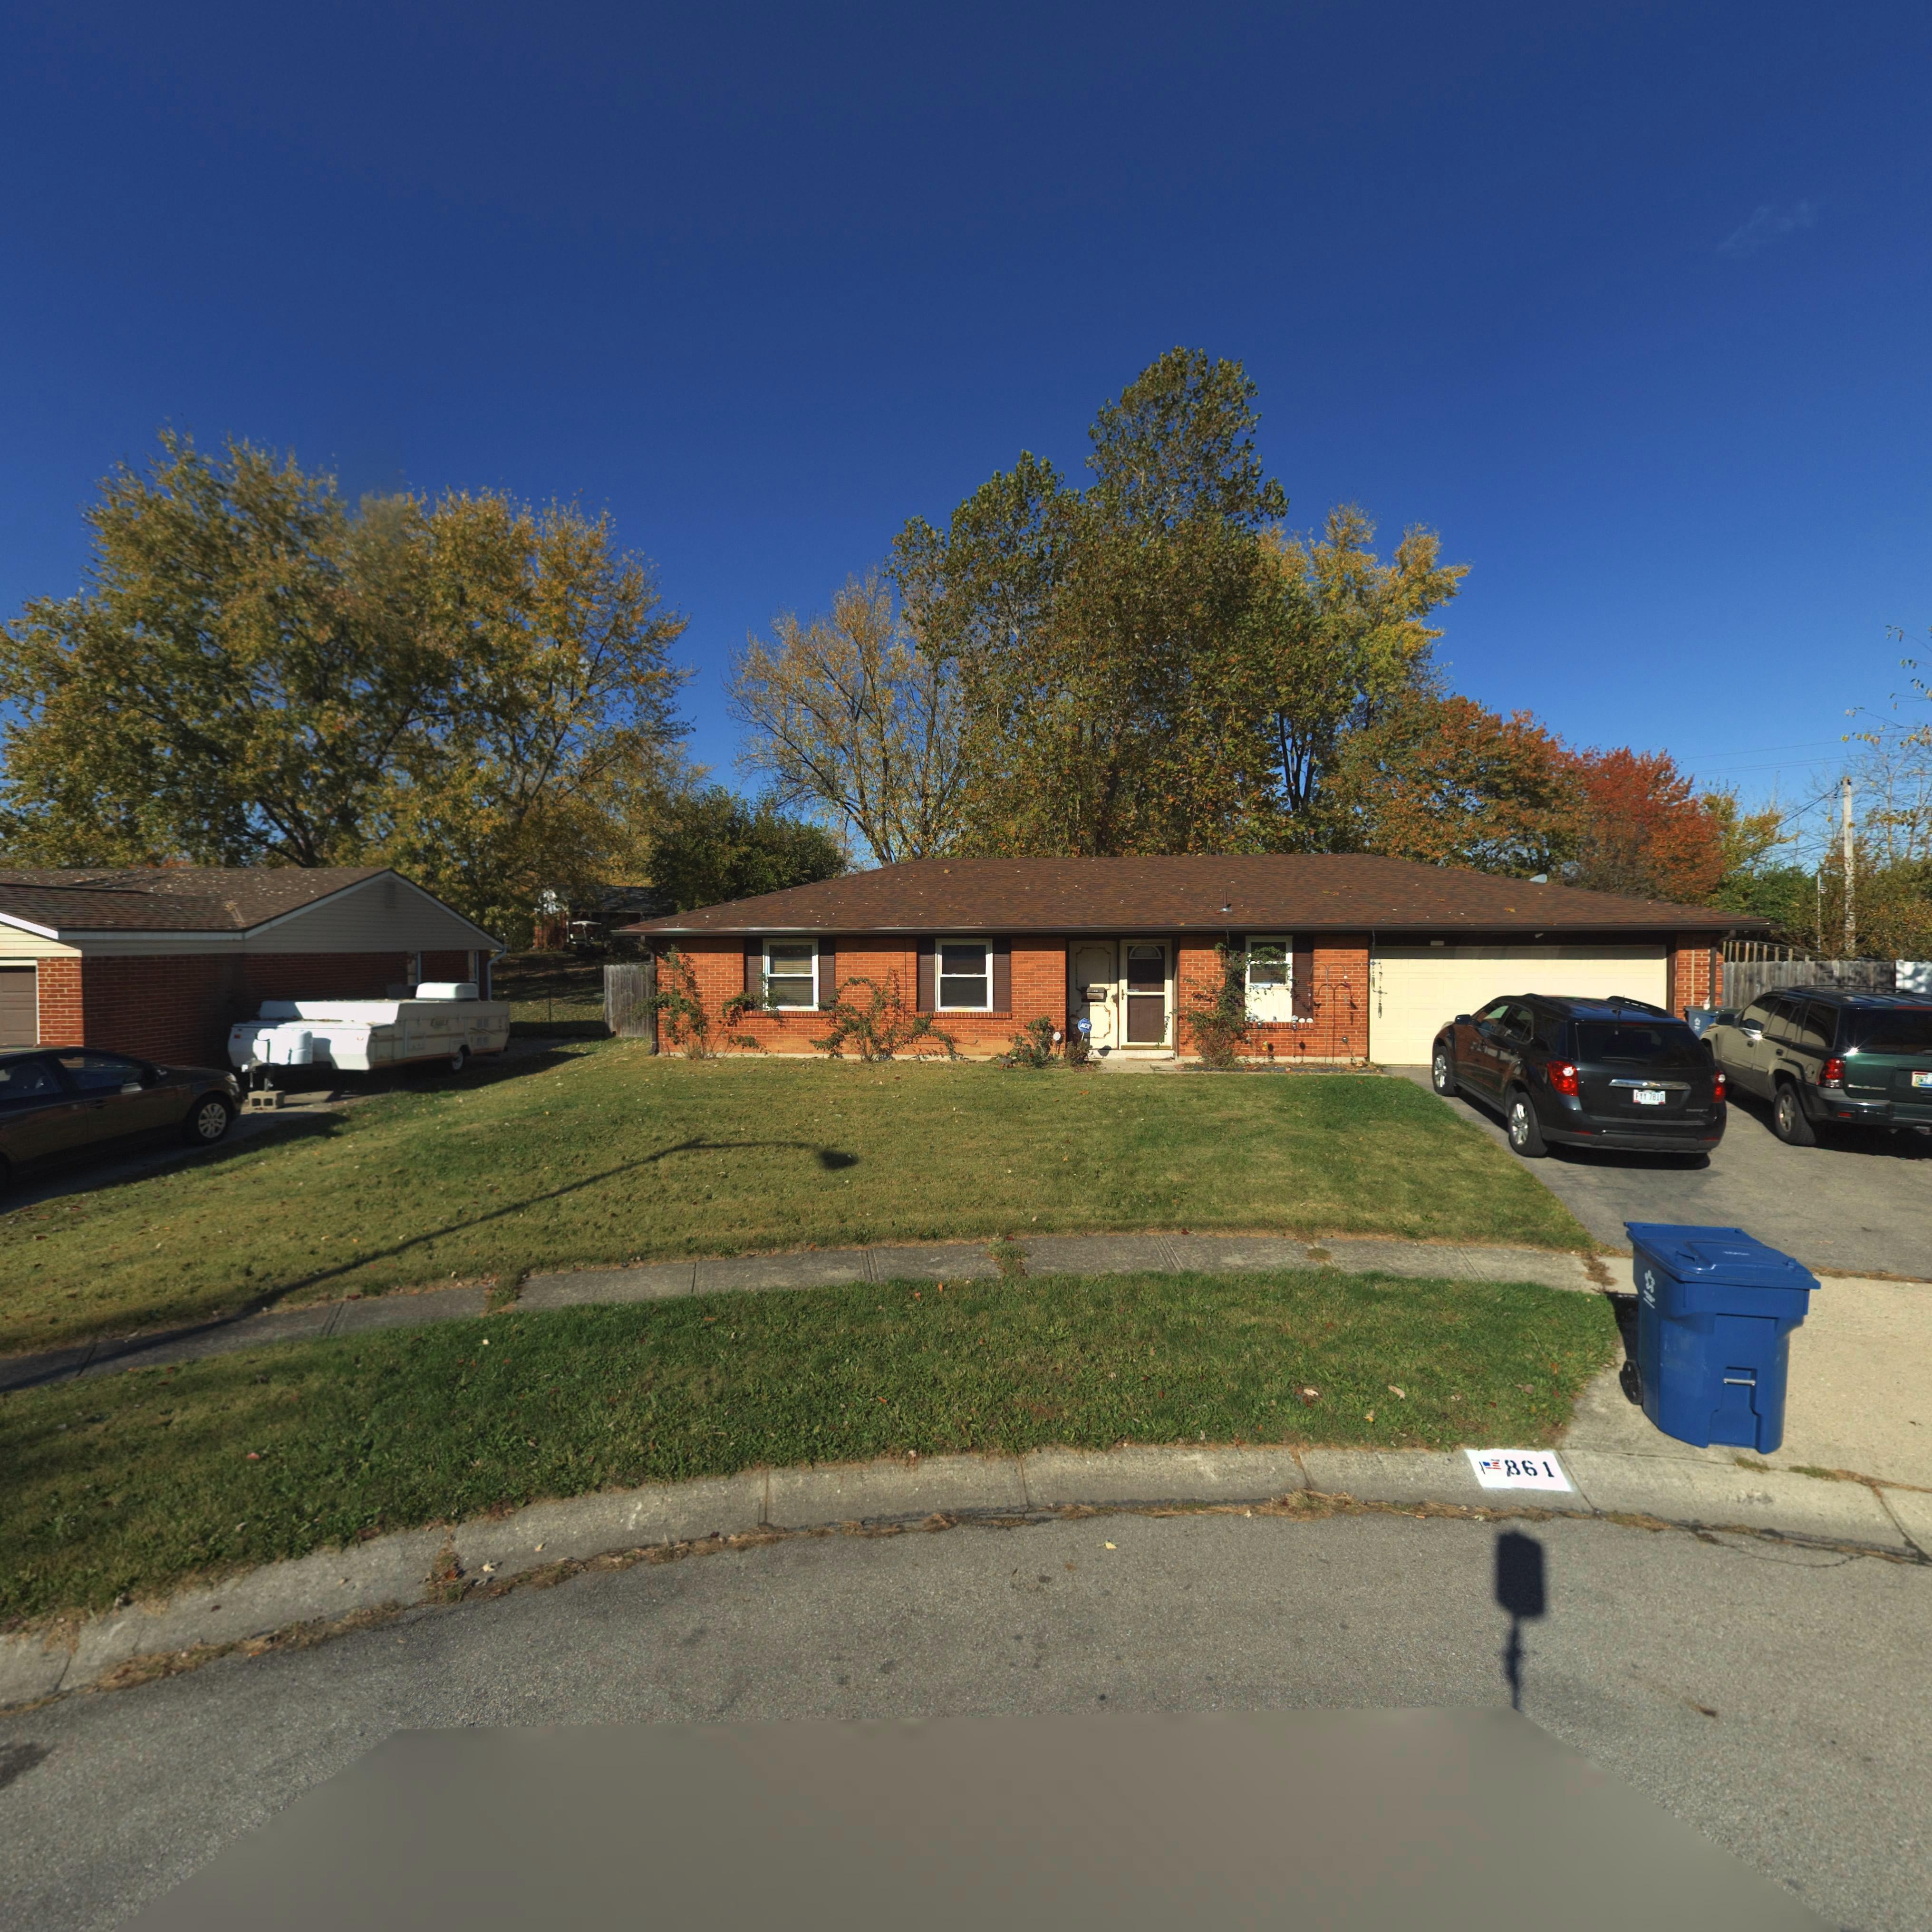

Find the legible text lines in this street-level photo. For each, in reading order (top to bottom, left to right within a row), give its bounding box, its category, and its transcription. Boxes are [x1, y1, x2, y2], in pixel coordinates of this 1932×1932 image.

[1503, 1459, 1556, 1479] StreetNumber: 861